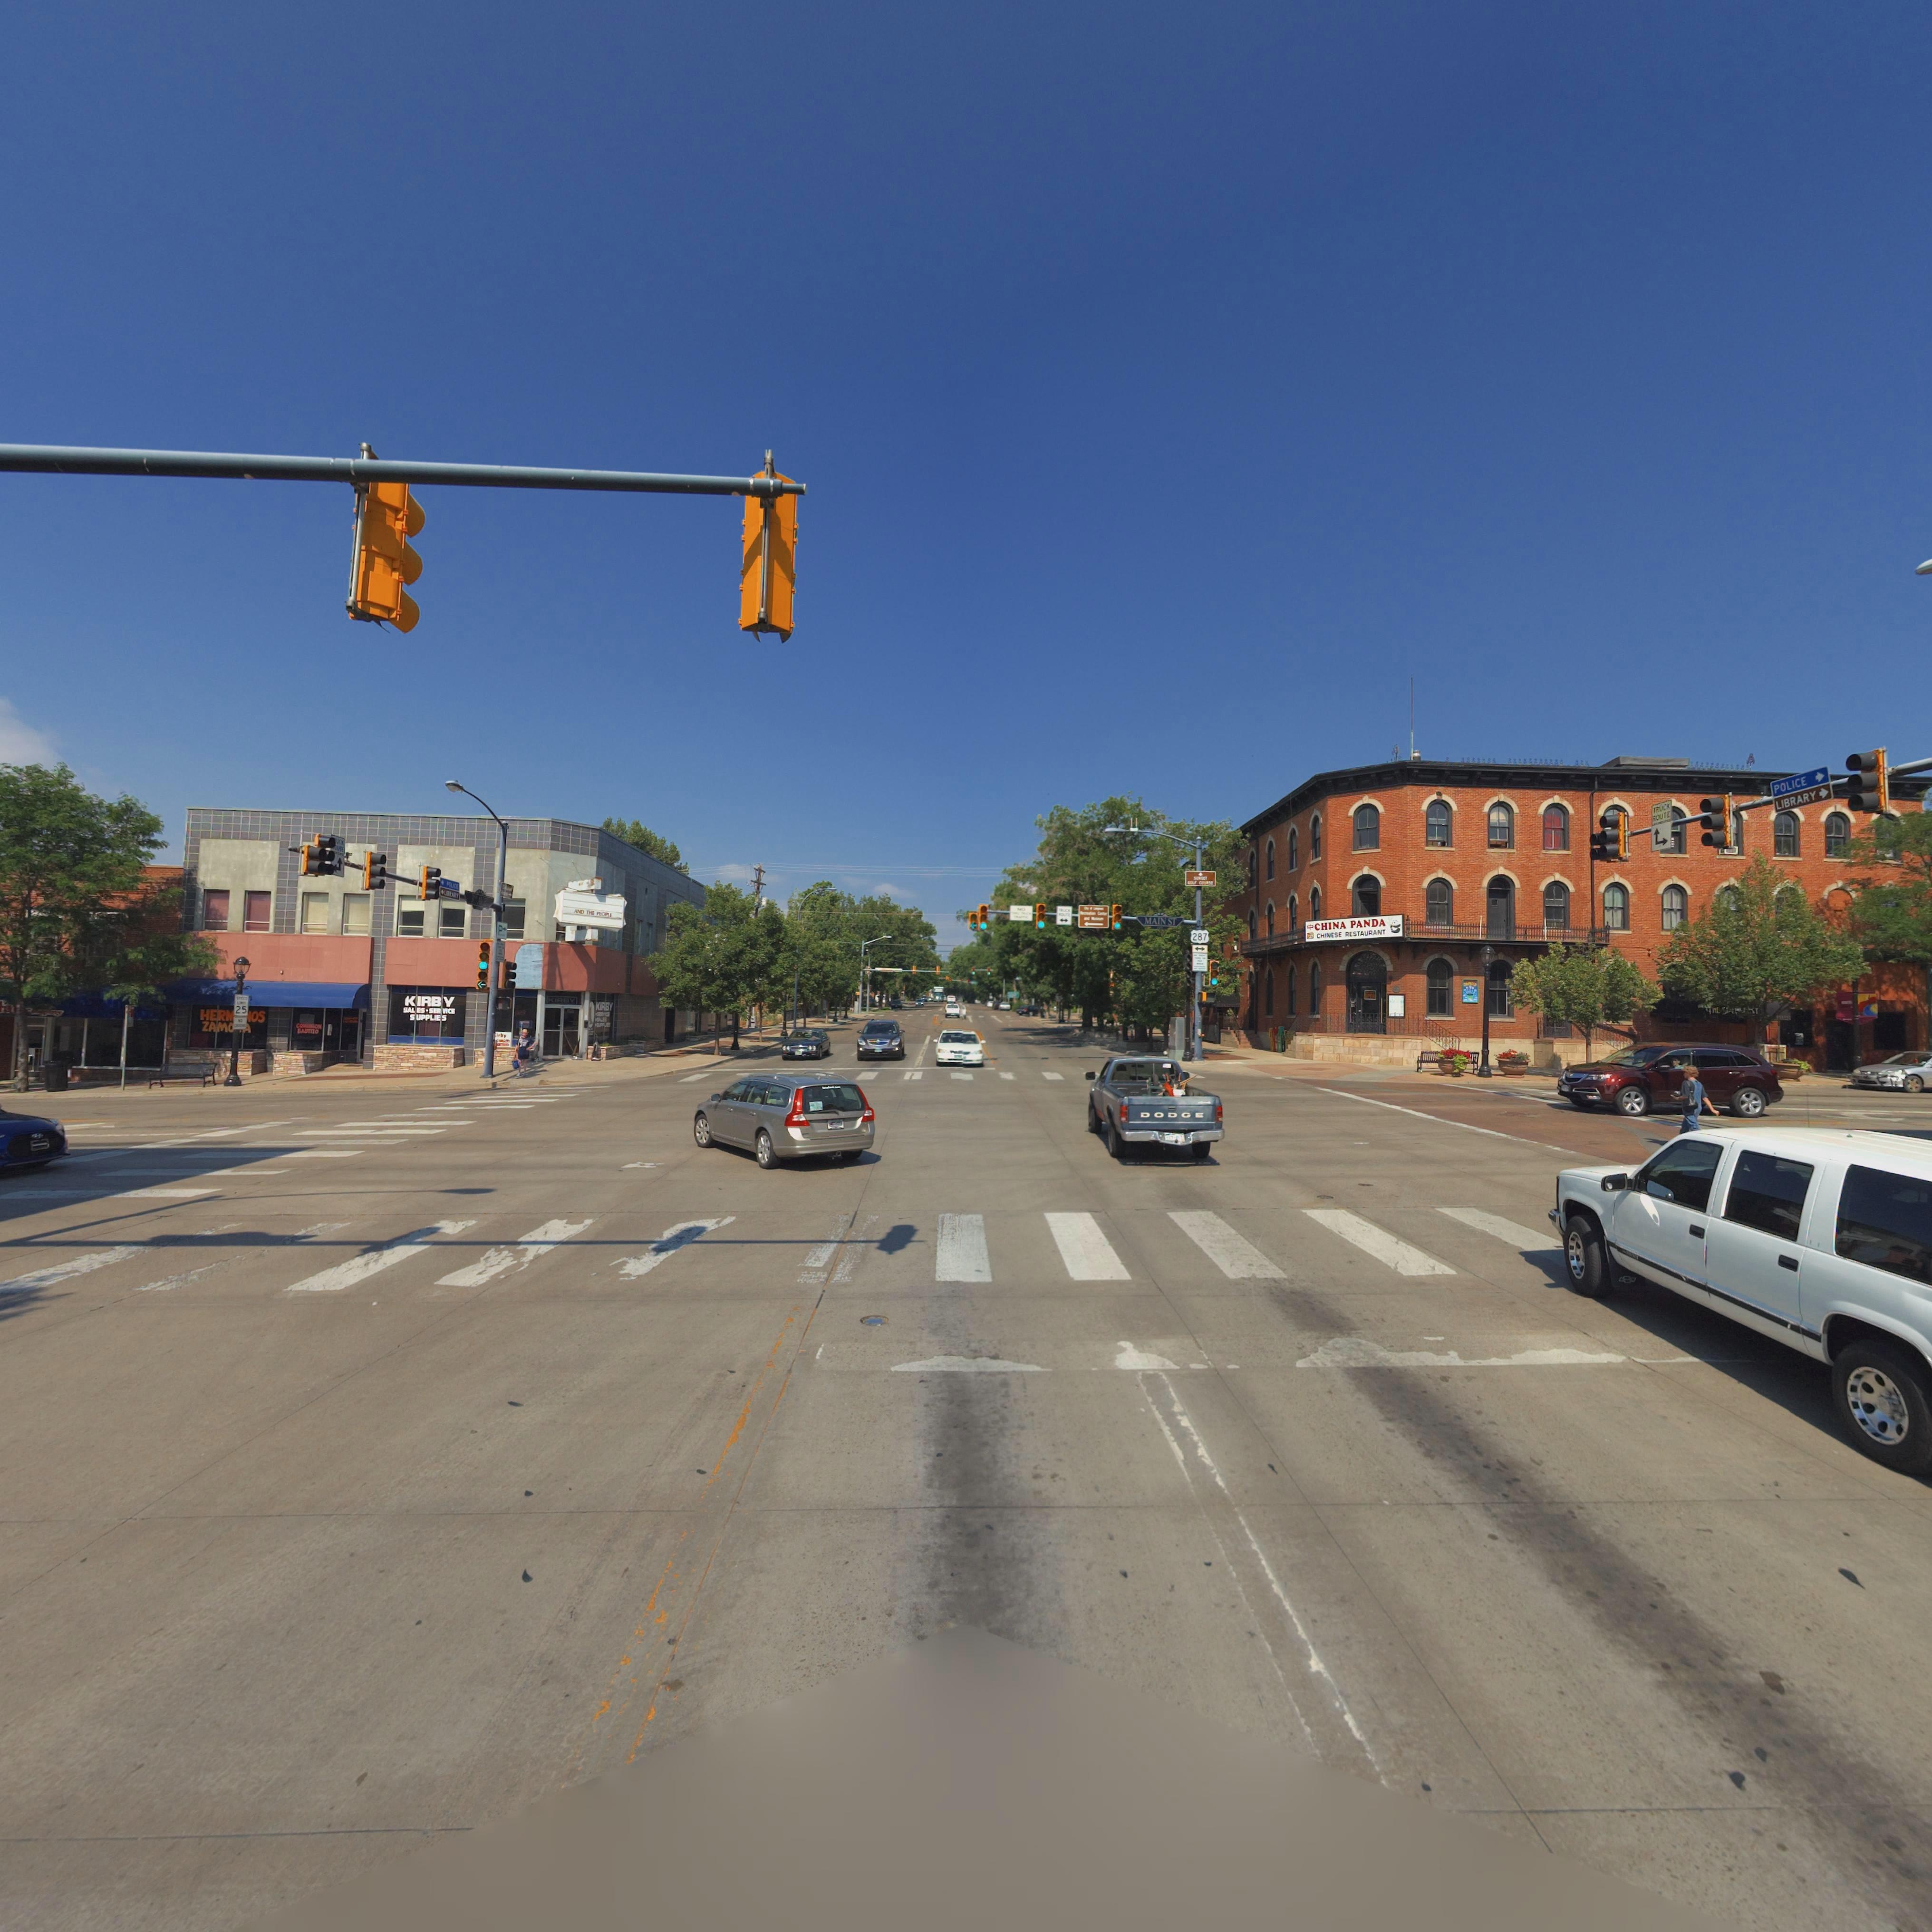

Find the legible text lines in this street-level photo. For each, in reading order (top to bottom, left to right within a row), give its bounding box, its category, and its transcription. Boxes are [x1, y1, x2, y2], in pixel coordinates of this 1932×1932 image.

[1144, 917, 1176, 926] StreetName: MAIN ST
[1314, 918, 1386, 931] BusinessName: CHINA PANDA
[1316, 928, 1386, 939] BusinessName: CHINESE RESTAURANT
[404, 995, 455, 1007] BusinessName: KIRBY
[548, 997, 575, 1003] BusinessName: KIRBY
[595, 1001, 613, 1010] BusinessName: KIRBY
[200, 1008, 266, 1023] BusinessName: HERM**OS
[201, 1021, 251, 1034] BusinessName: ZAMO**
[495, 1032, 507, 1038] BusinessName: *irby